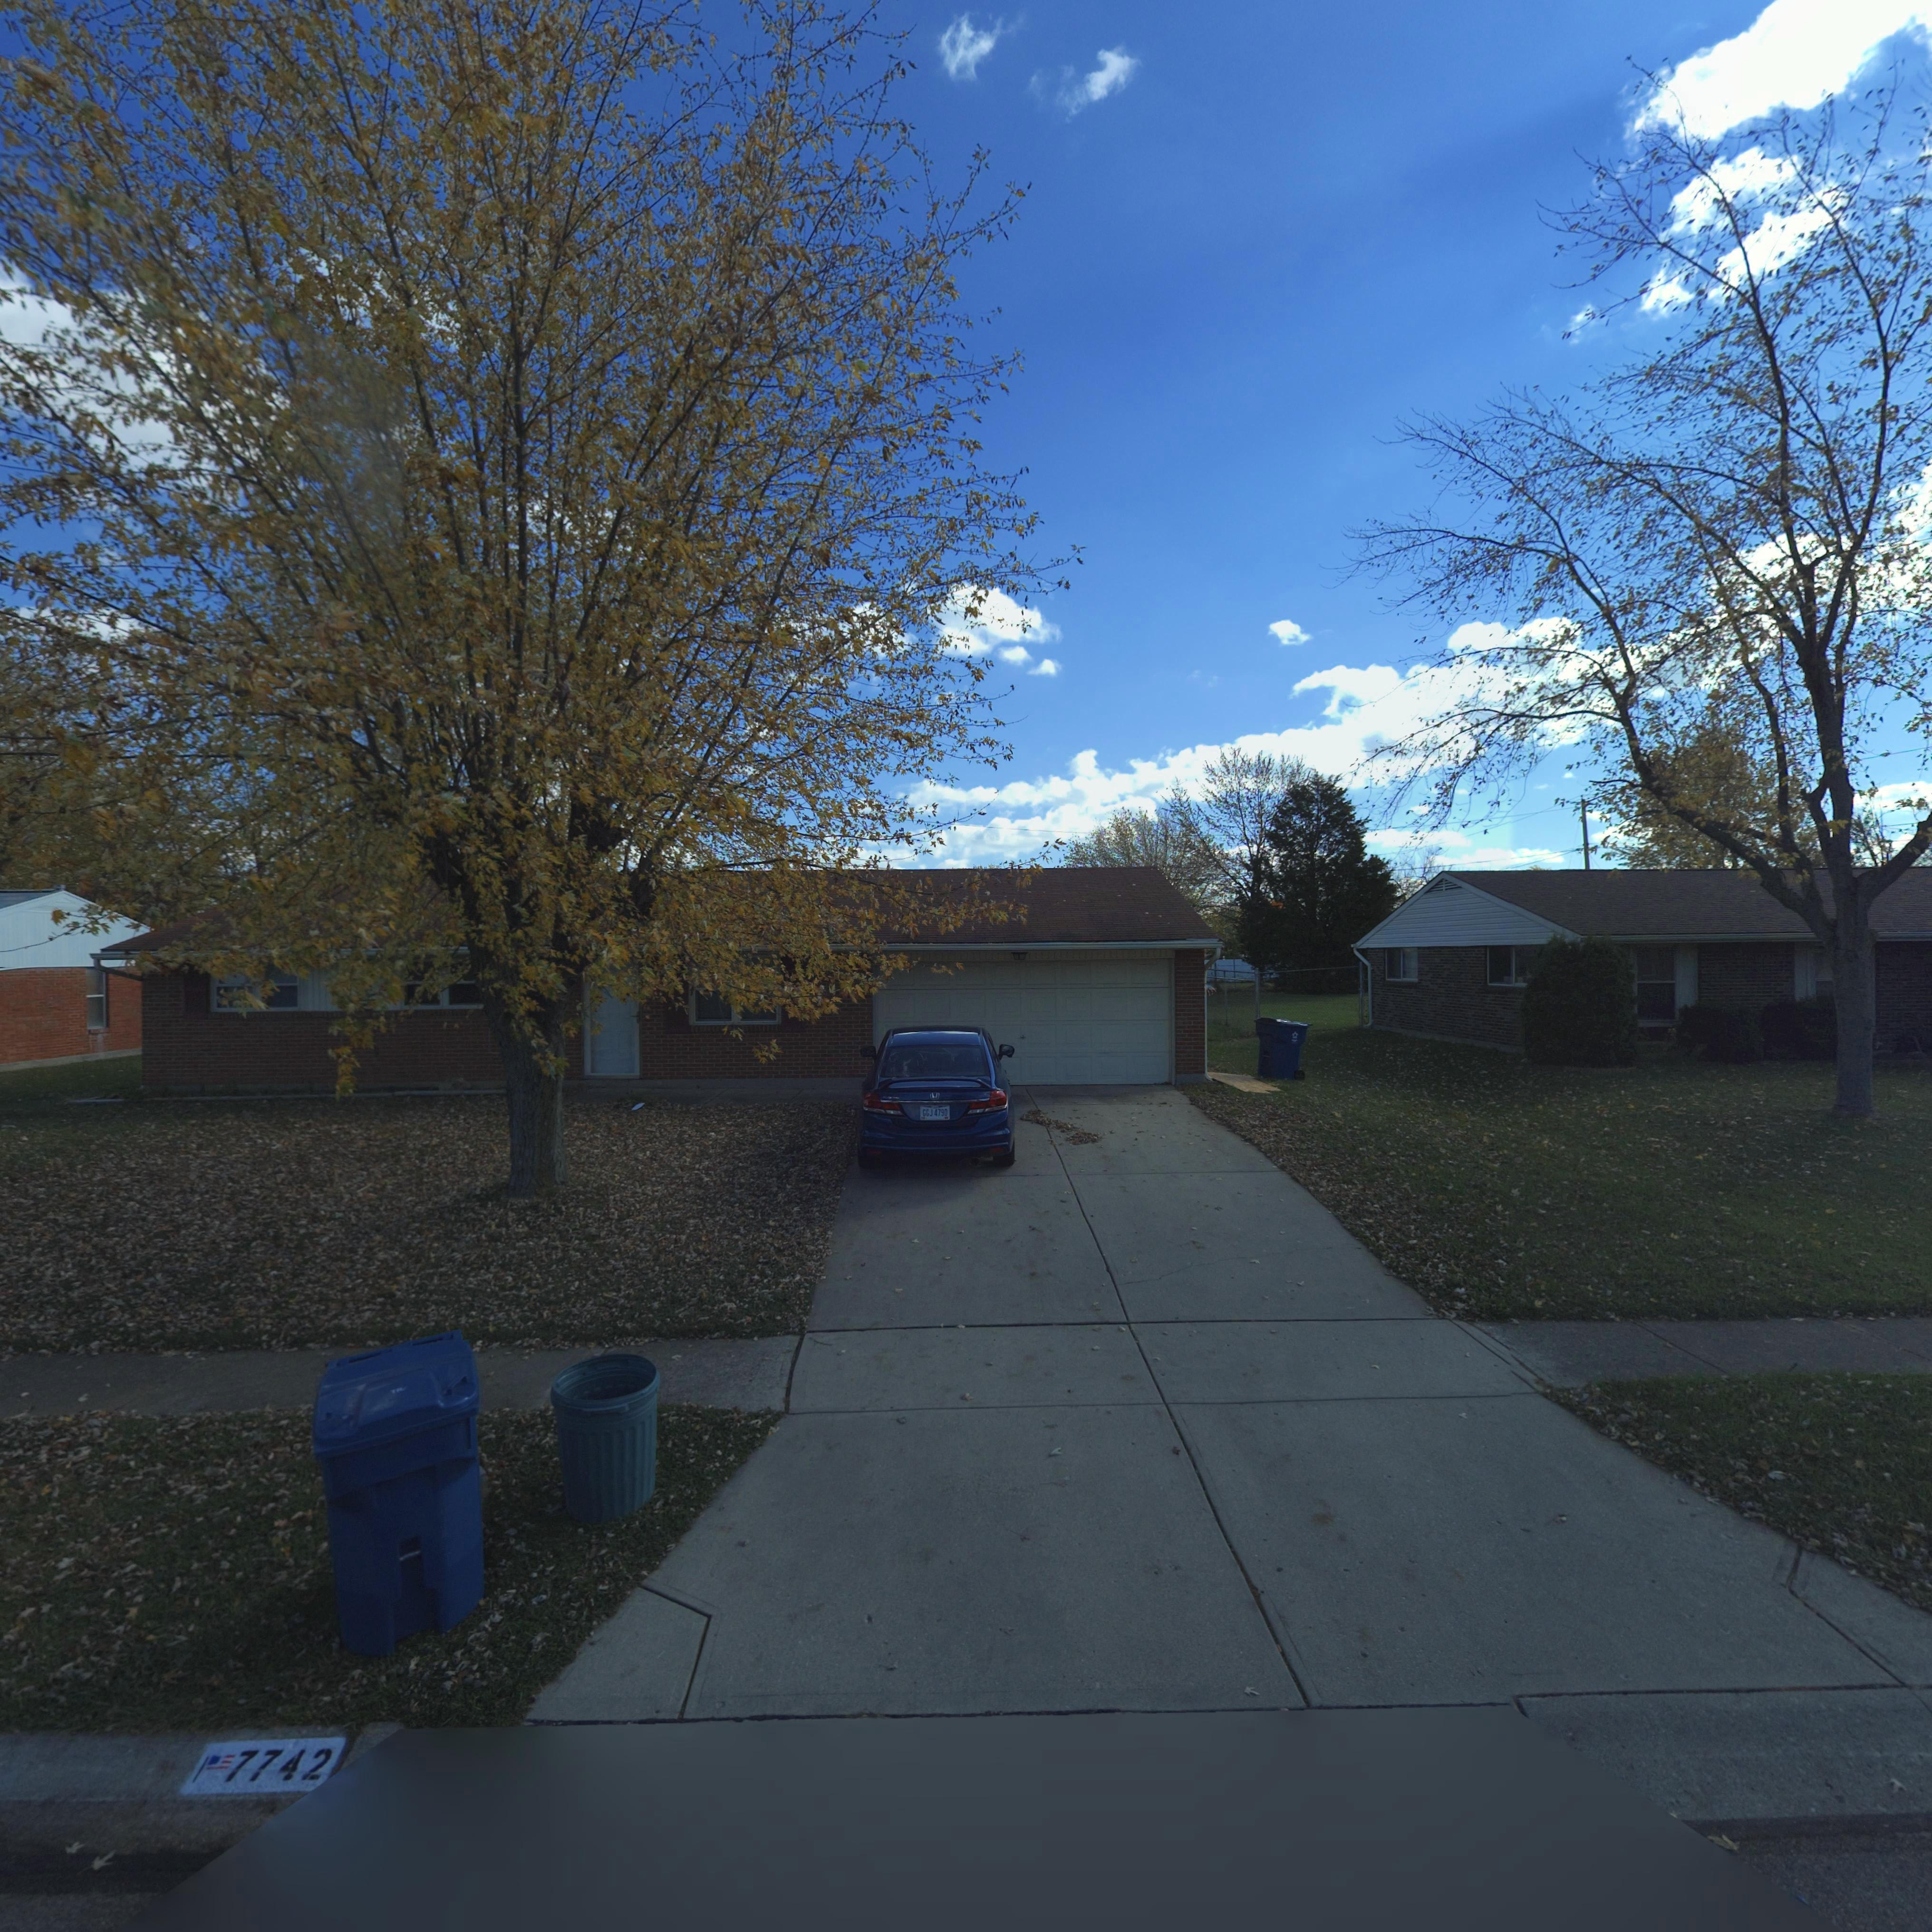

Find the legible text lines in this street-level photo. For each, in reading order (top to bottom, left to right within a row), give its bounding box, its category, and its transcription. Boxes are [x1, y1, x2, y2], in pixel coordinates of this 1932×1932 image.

[222, 1745, 335, 1785] StreetNumber: 7742